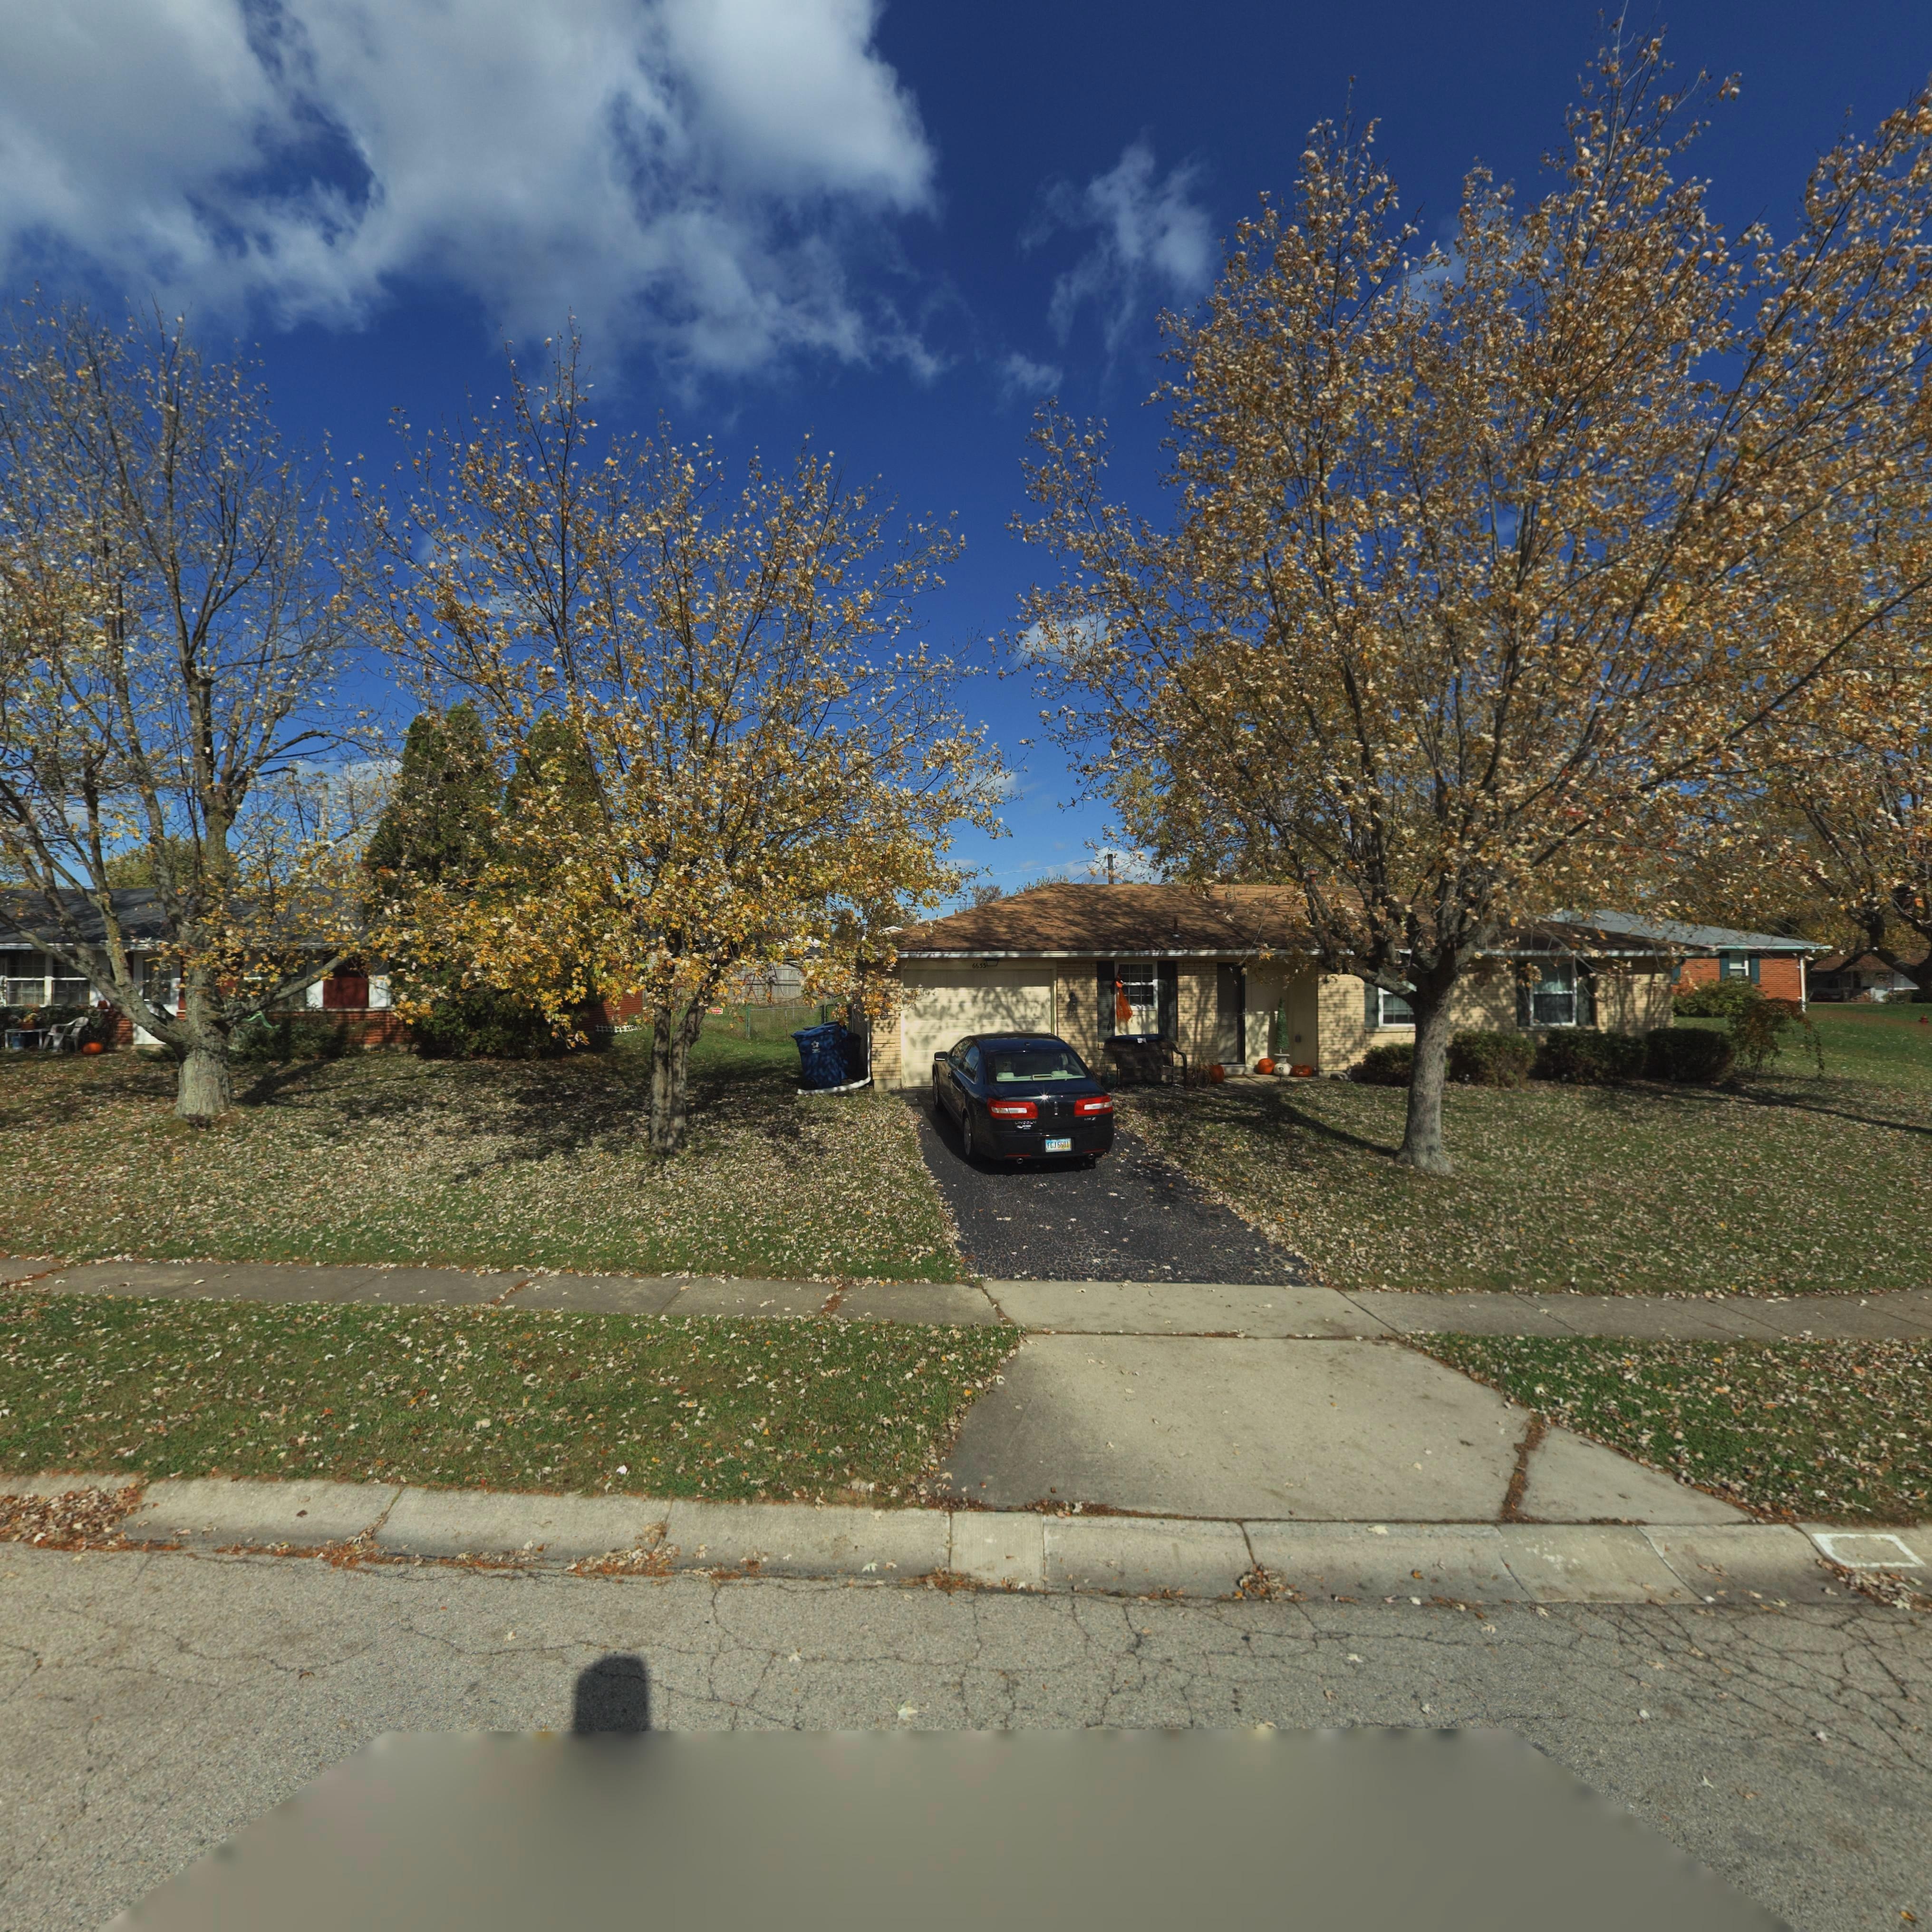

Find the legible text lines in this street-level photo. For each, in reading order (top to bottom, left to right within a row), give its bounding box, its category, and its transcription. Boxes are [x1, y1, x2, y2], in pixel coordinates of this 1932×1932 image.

[971, 962, 987, 969] StreetNumber: 6633